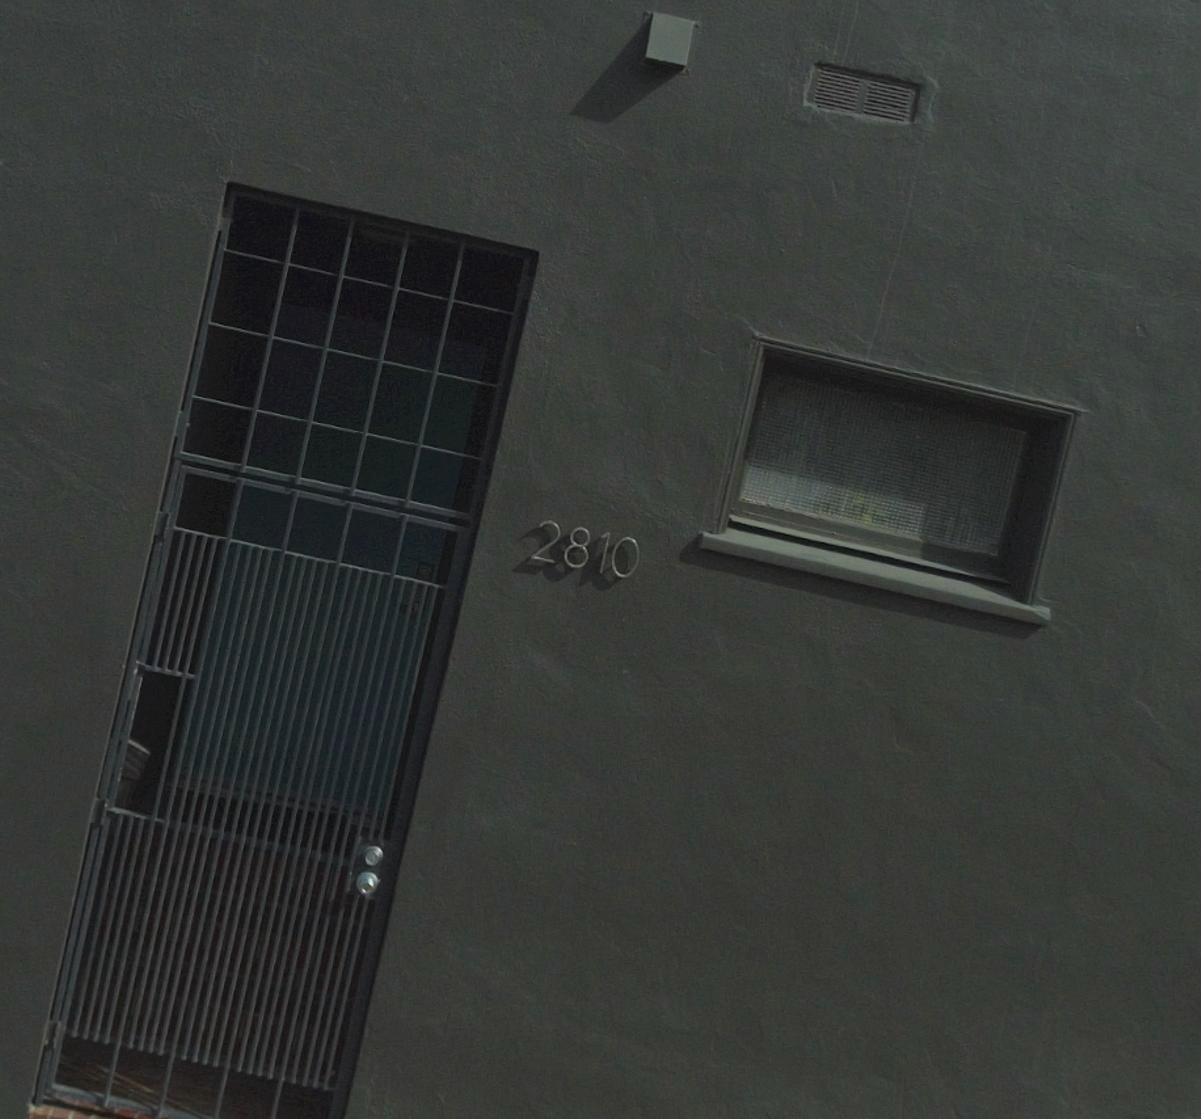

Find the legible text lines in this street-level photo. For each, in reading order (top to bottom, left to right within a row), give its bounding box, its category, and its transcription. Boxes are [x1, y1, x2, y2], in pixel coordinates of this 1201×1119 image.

[527, 517, 643, 584] StreetNumber: 2810